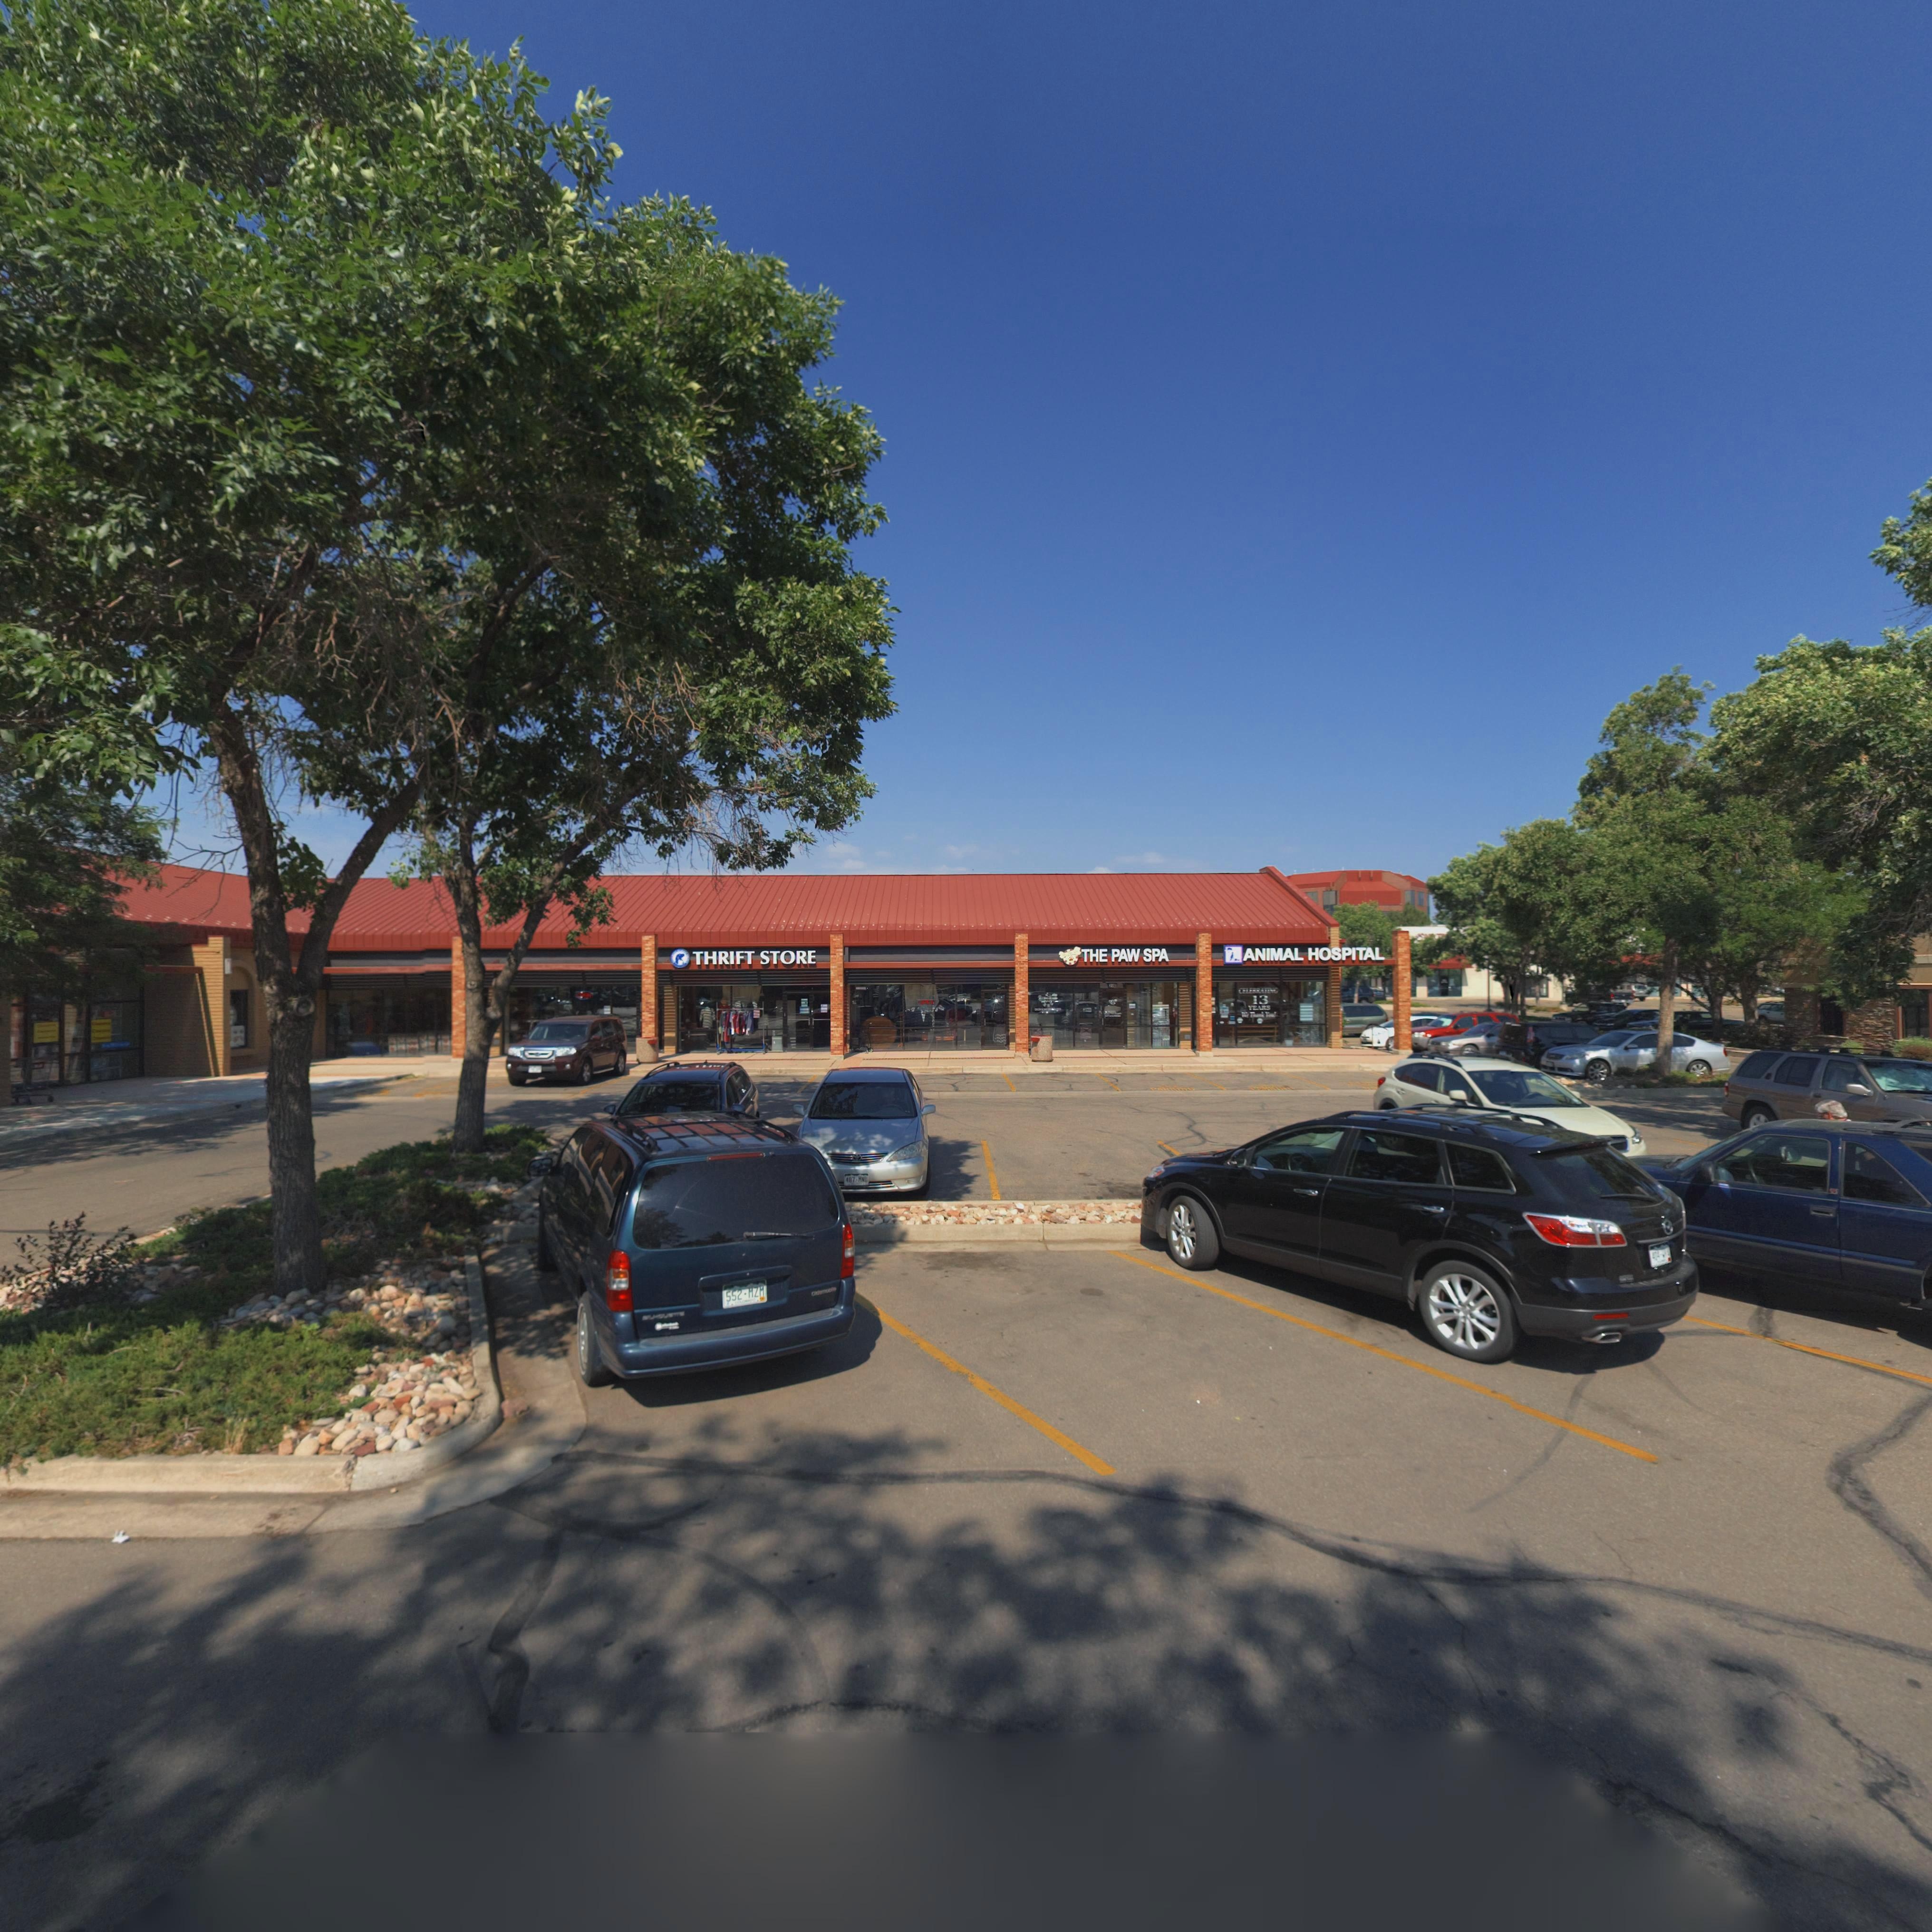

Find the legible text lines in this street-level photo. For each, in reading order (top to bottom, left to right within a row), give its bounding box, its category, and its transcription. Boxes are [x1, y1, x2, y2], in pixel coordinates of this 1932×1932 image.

[1081, 947, 1169, 962] BusinessName: THE PAW SPA